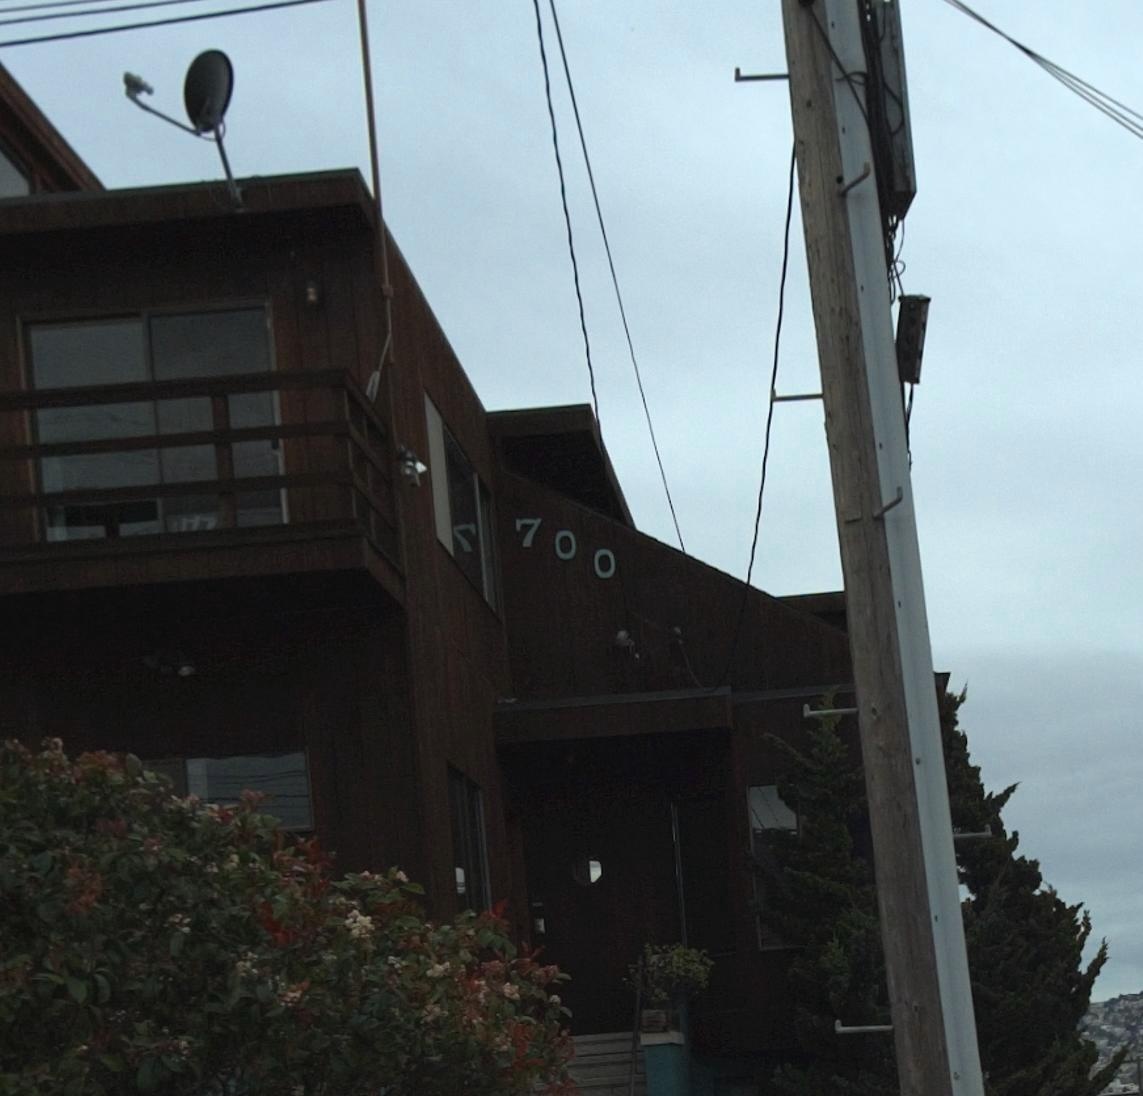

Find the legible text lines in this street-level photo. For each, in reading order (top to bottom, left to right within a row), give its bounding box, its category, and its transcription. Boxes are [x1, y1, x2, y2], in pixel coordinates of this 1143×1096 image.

[514, 515, 618, 581] StreetNumber: 700